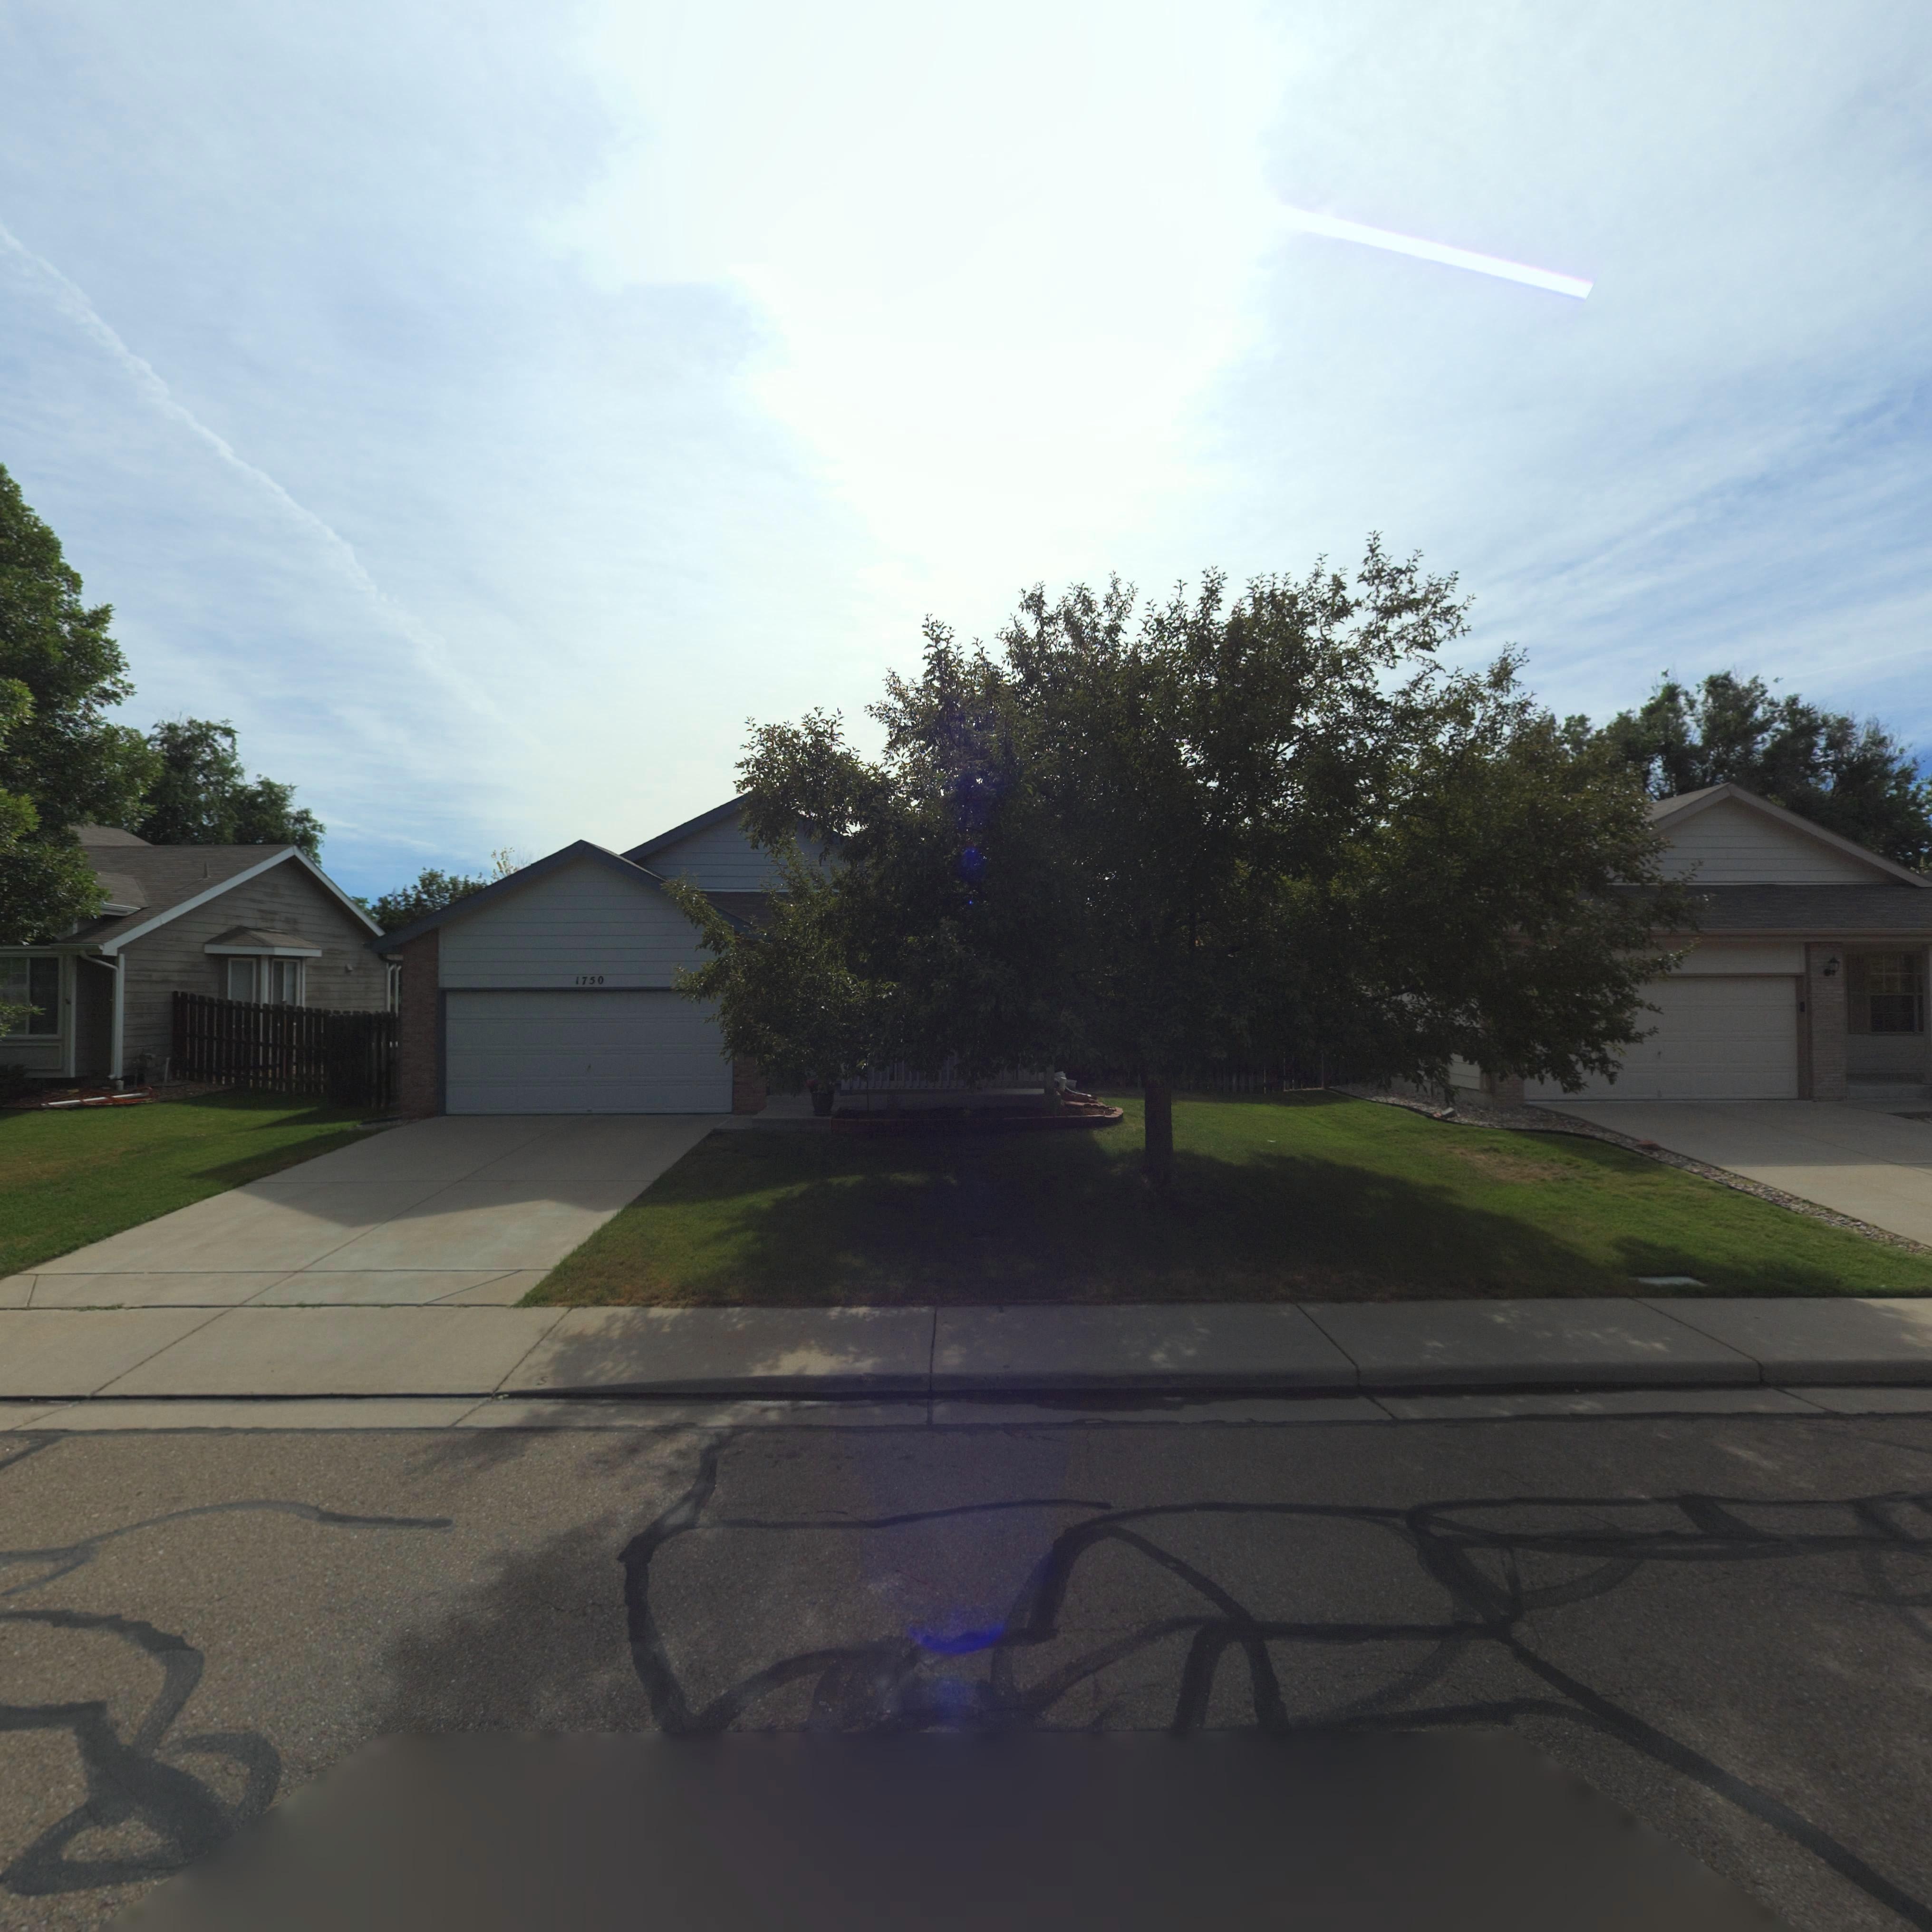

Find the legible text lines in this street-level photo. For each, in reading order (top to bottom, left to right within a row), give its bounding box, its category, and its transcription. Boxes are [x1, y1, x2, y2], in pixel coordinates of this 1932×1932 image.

[575, 975, 604, 985] StreetNumber: 1750